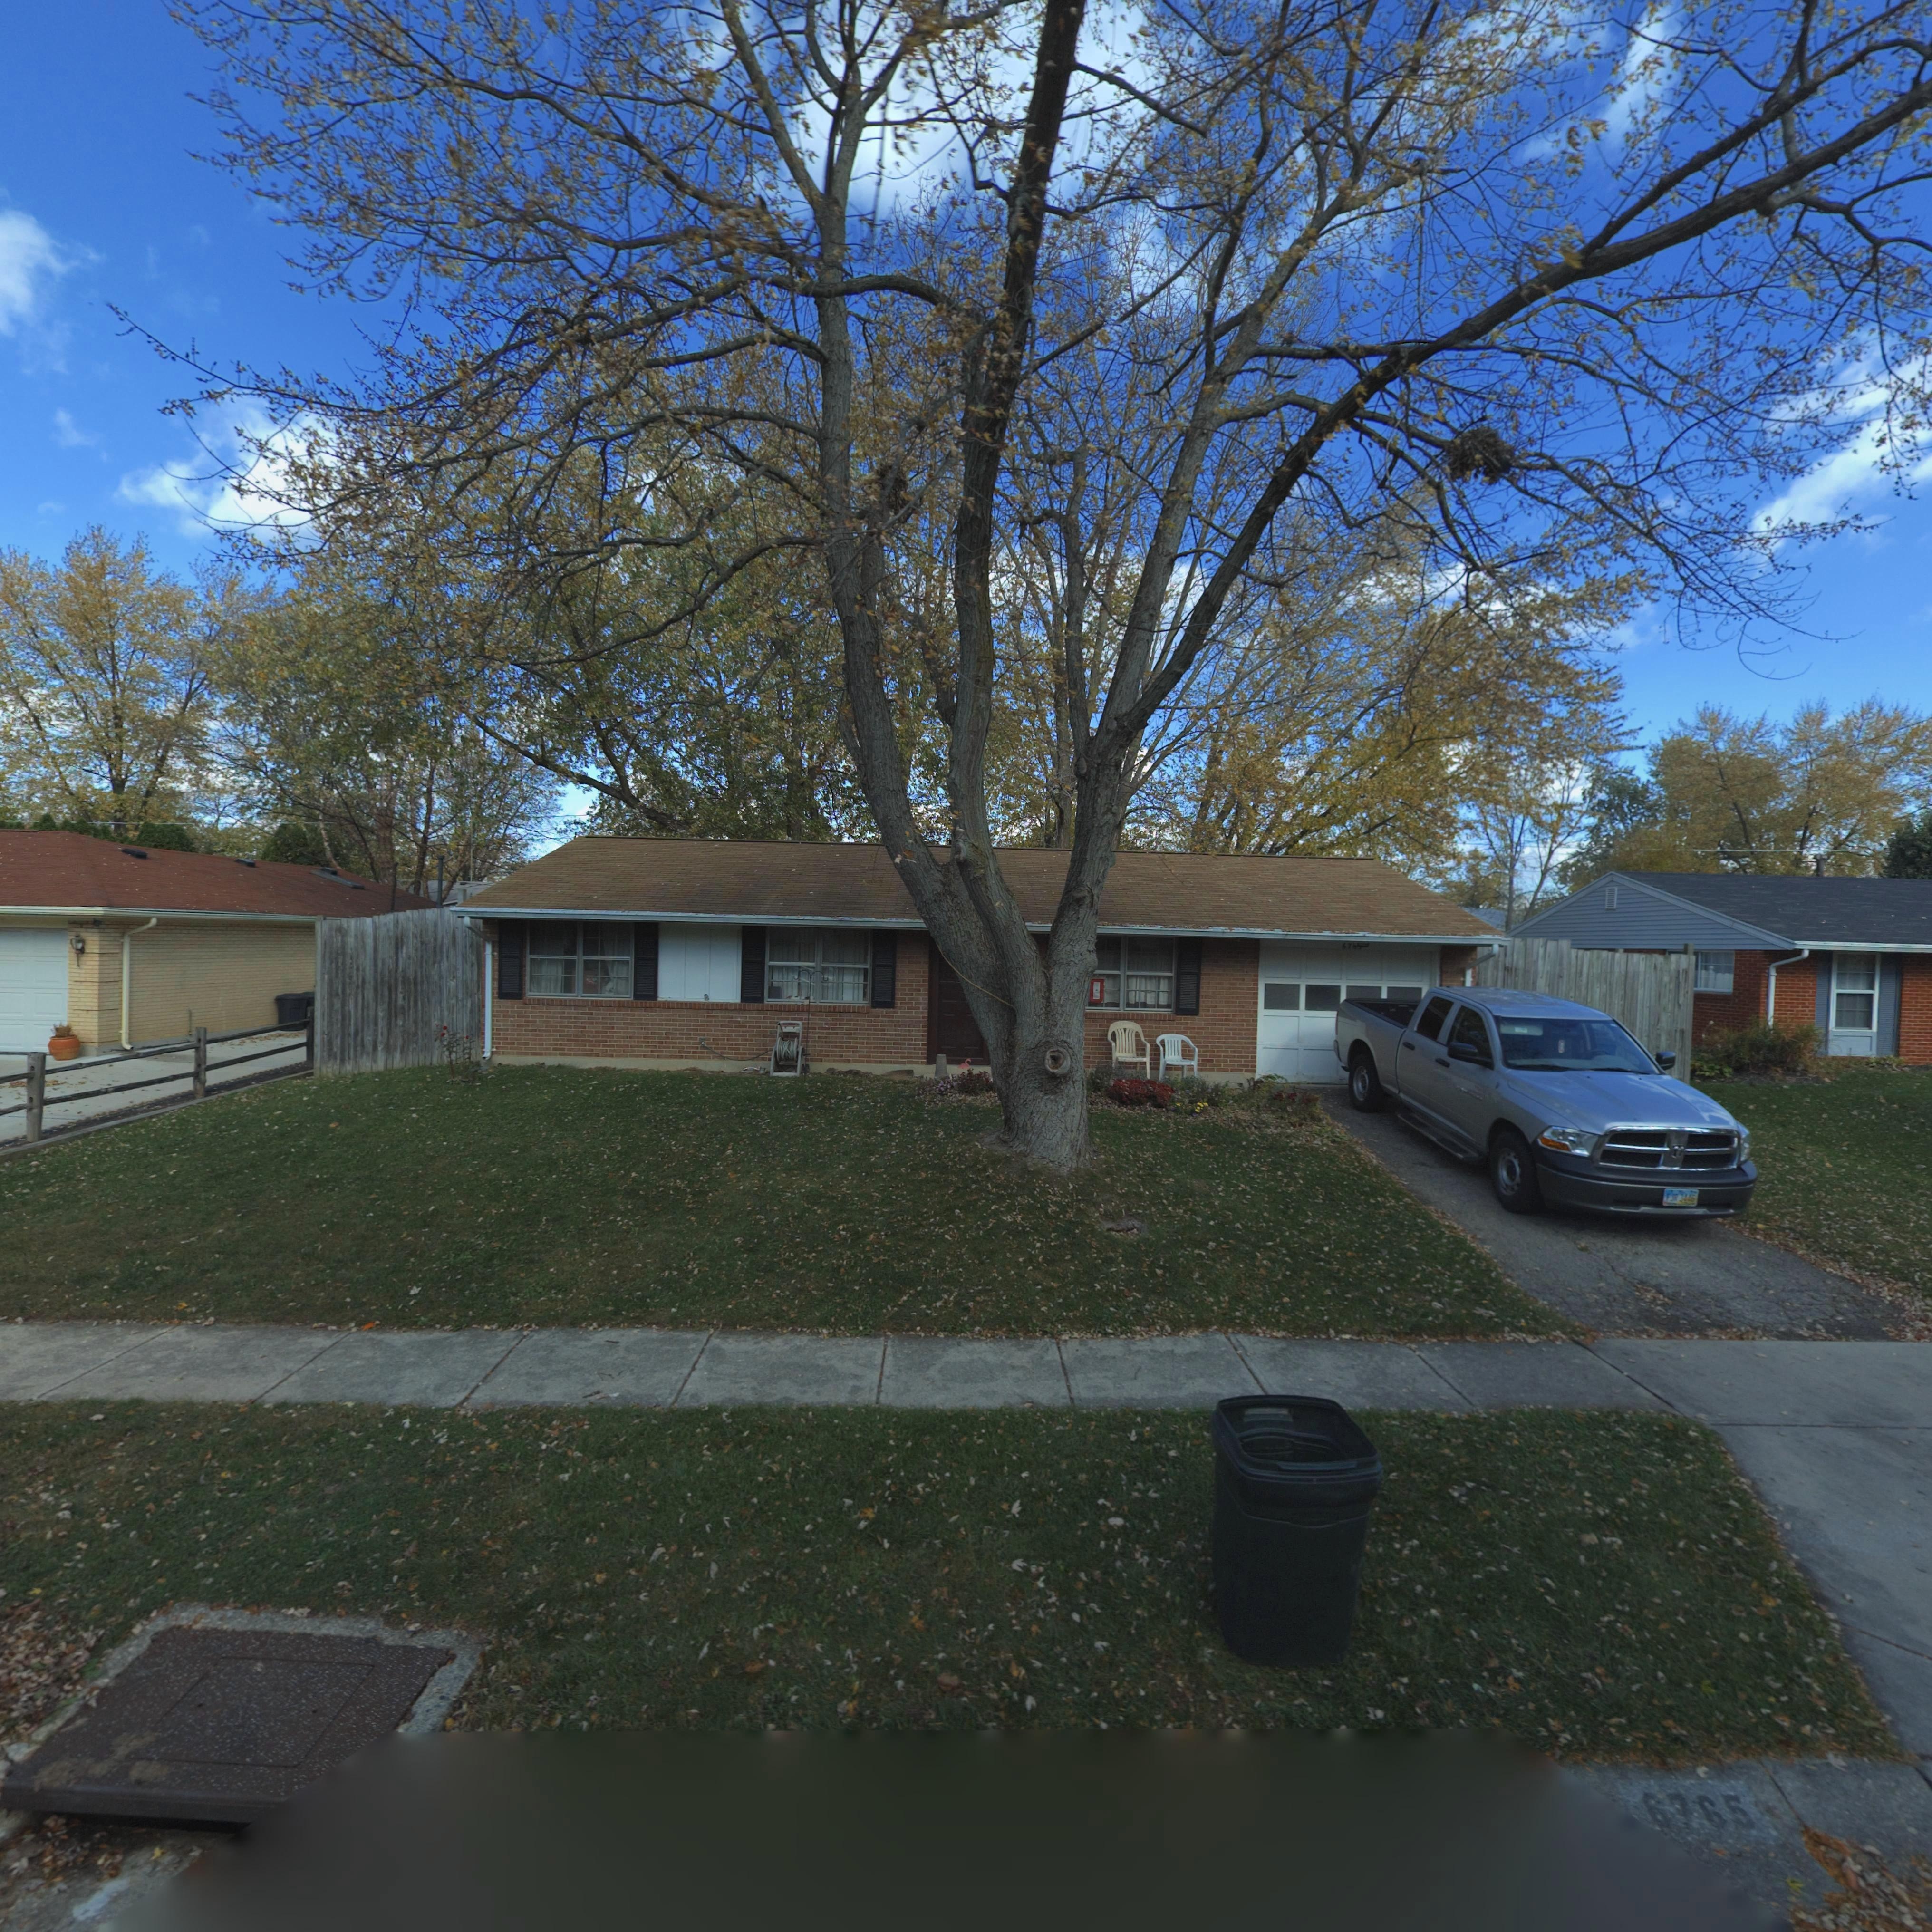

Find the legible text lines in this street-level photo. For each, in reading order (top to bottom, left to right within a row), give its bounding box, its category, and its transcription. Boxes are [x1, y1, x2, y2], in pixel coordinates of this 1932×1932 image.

[1341, 942, 1358, 950] StreetNumber: 676
[1639, 1790, 1760, 1831] StreetNumber: 6765